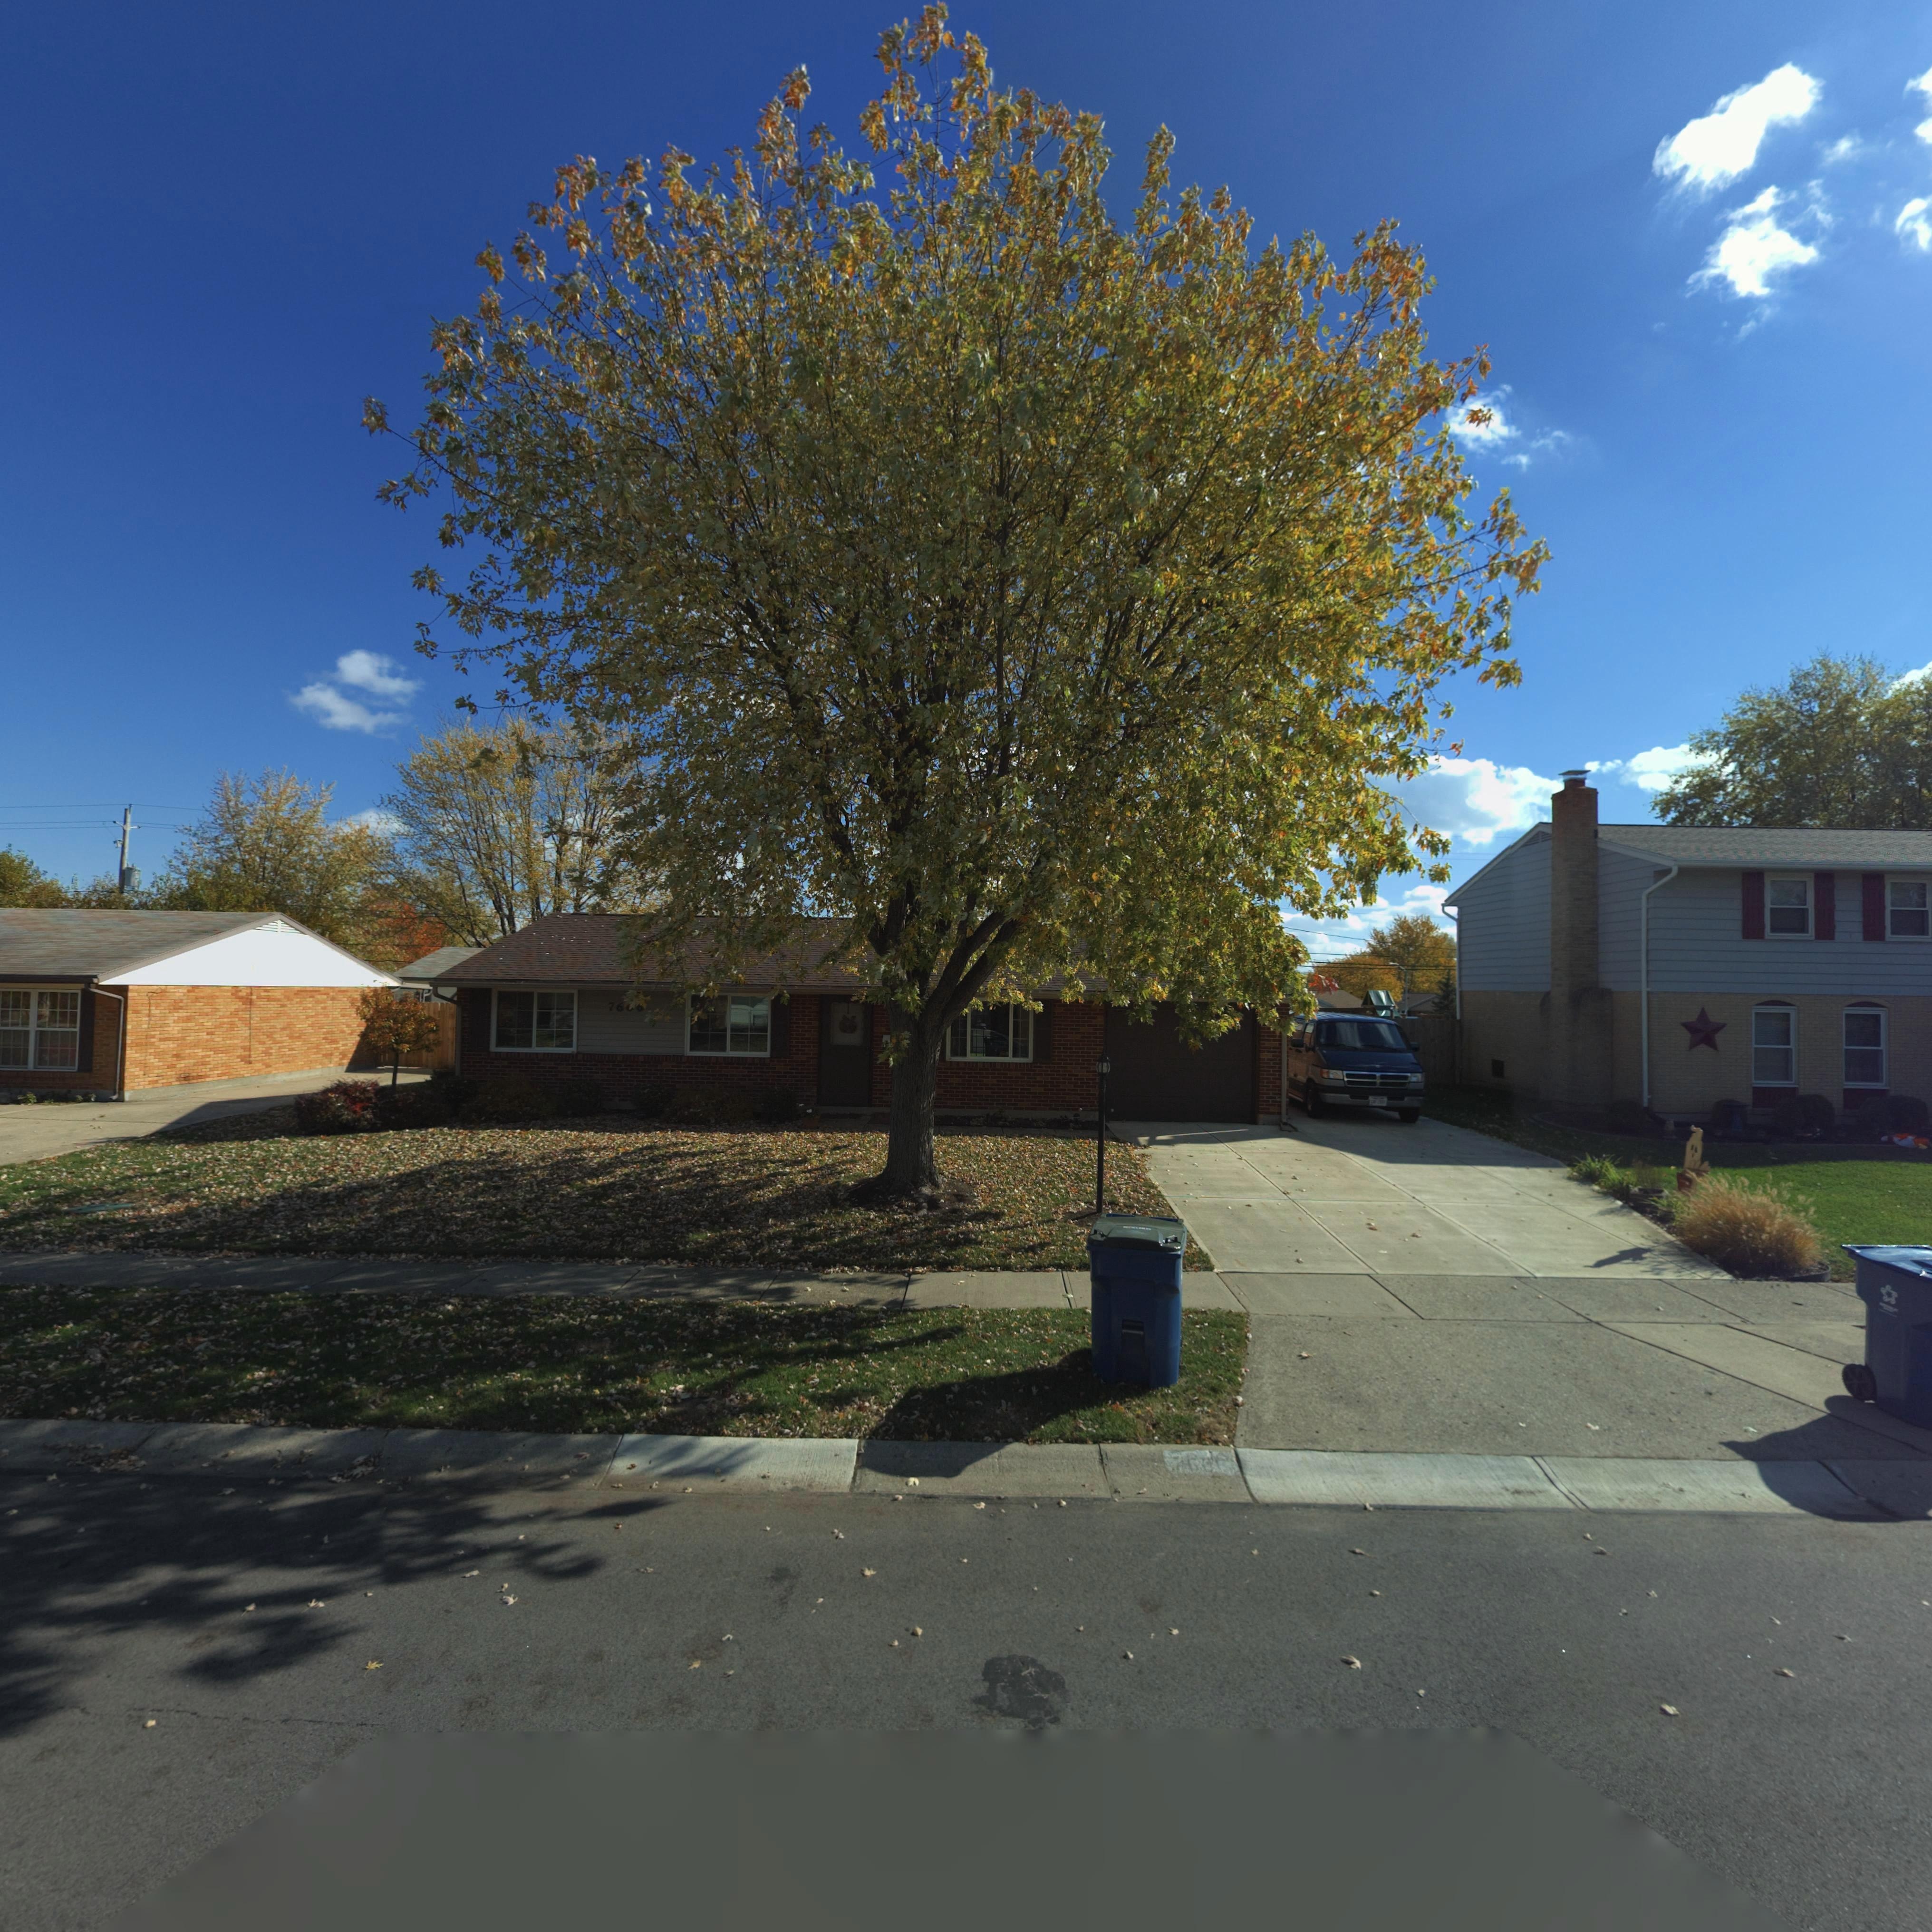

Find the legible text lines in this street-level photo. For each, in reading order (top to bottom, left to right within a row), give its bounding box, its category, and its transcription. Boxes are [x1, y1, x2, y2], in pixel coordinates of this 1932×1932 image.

[607, 1001, 625, 1013] StreetNumber: 76